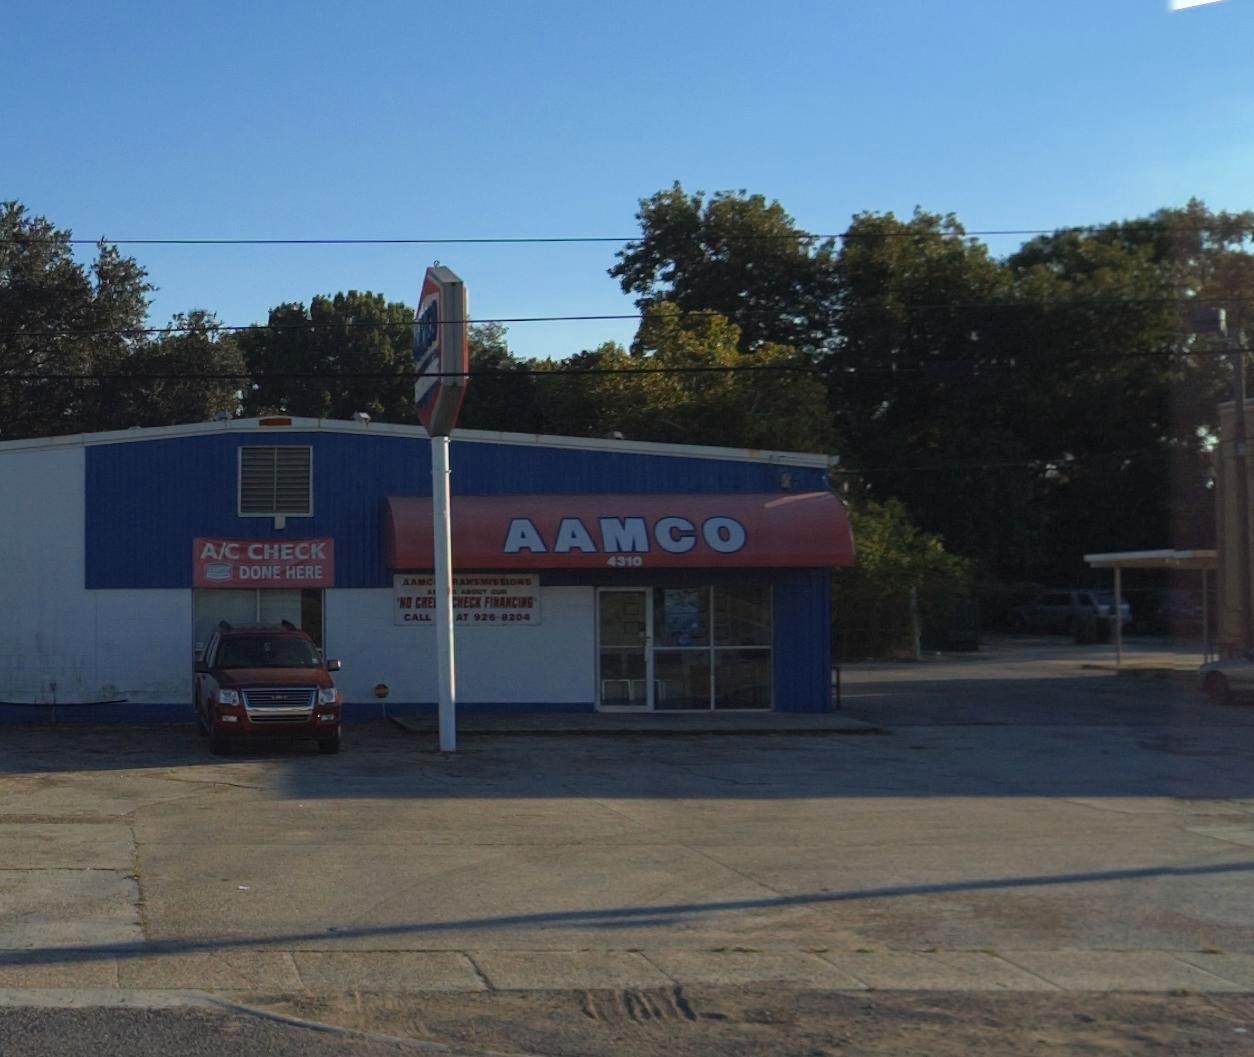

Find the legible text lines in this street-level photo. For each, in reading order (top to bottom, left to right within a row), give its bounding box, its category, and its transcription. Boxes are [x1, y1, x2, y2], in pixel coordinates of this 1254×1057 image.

[502, 516, 748, 554] BusinessName: AAMCO
[198, 541, 329, 561] None: A/C CHECK
[605, 554, 644, 568] StreetNumber: 4310
[238, 564, 324, 580] None: DONE HERE
[401, 577, 533, 587] None: AAMC RANSMISION
[396, 595, 538, 610] None: "NO CRE CHECK FINANCING"
[402, 612, 532, 622] None: CALL AT 926-8204